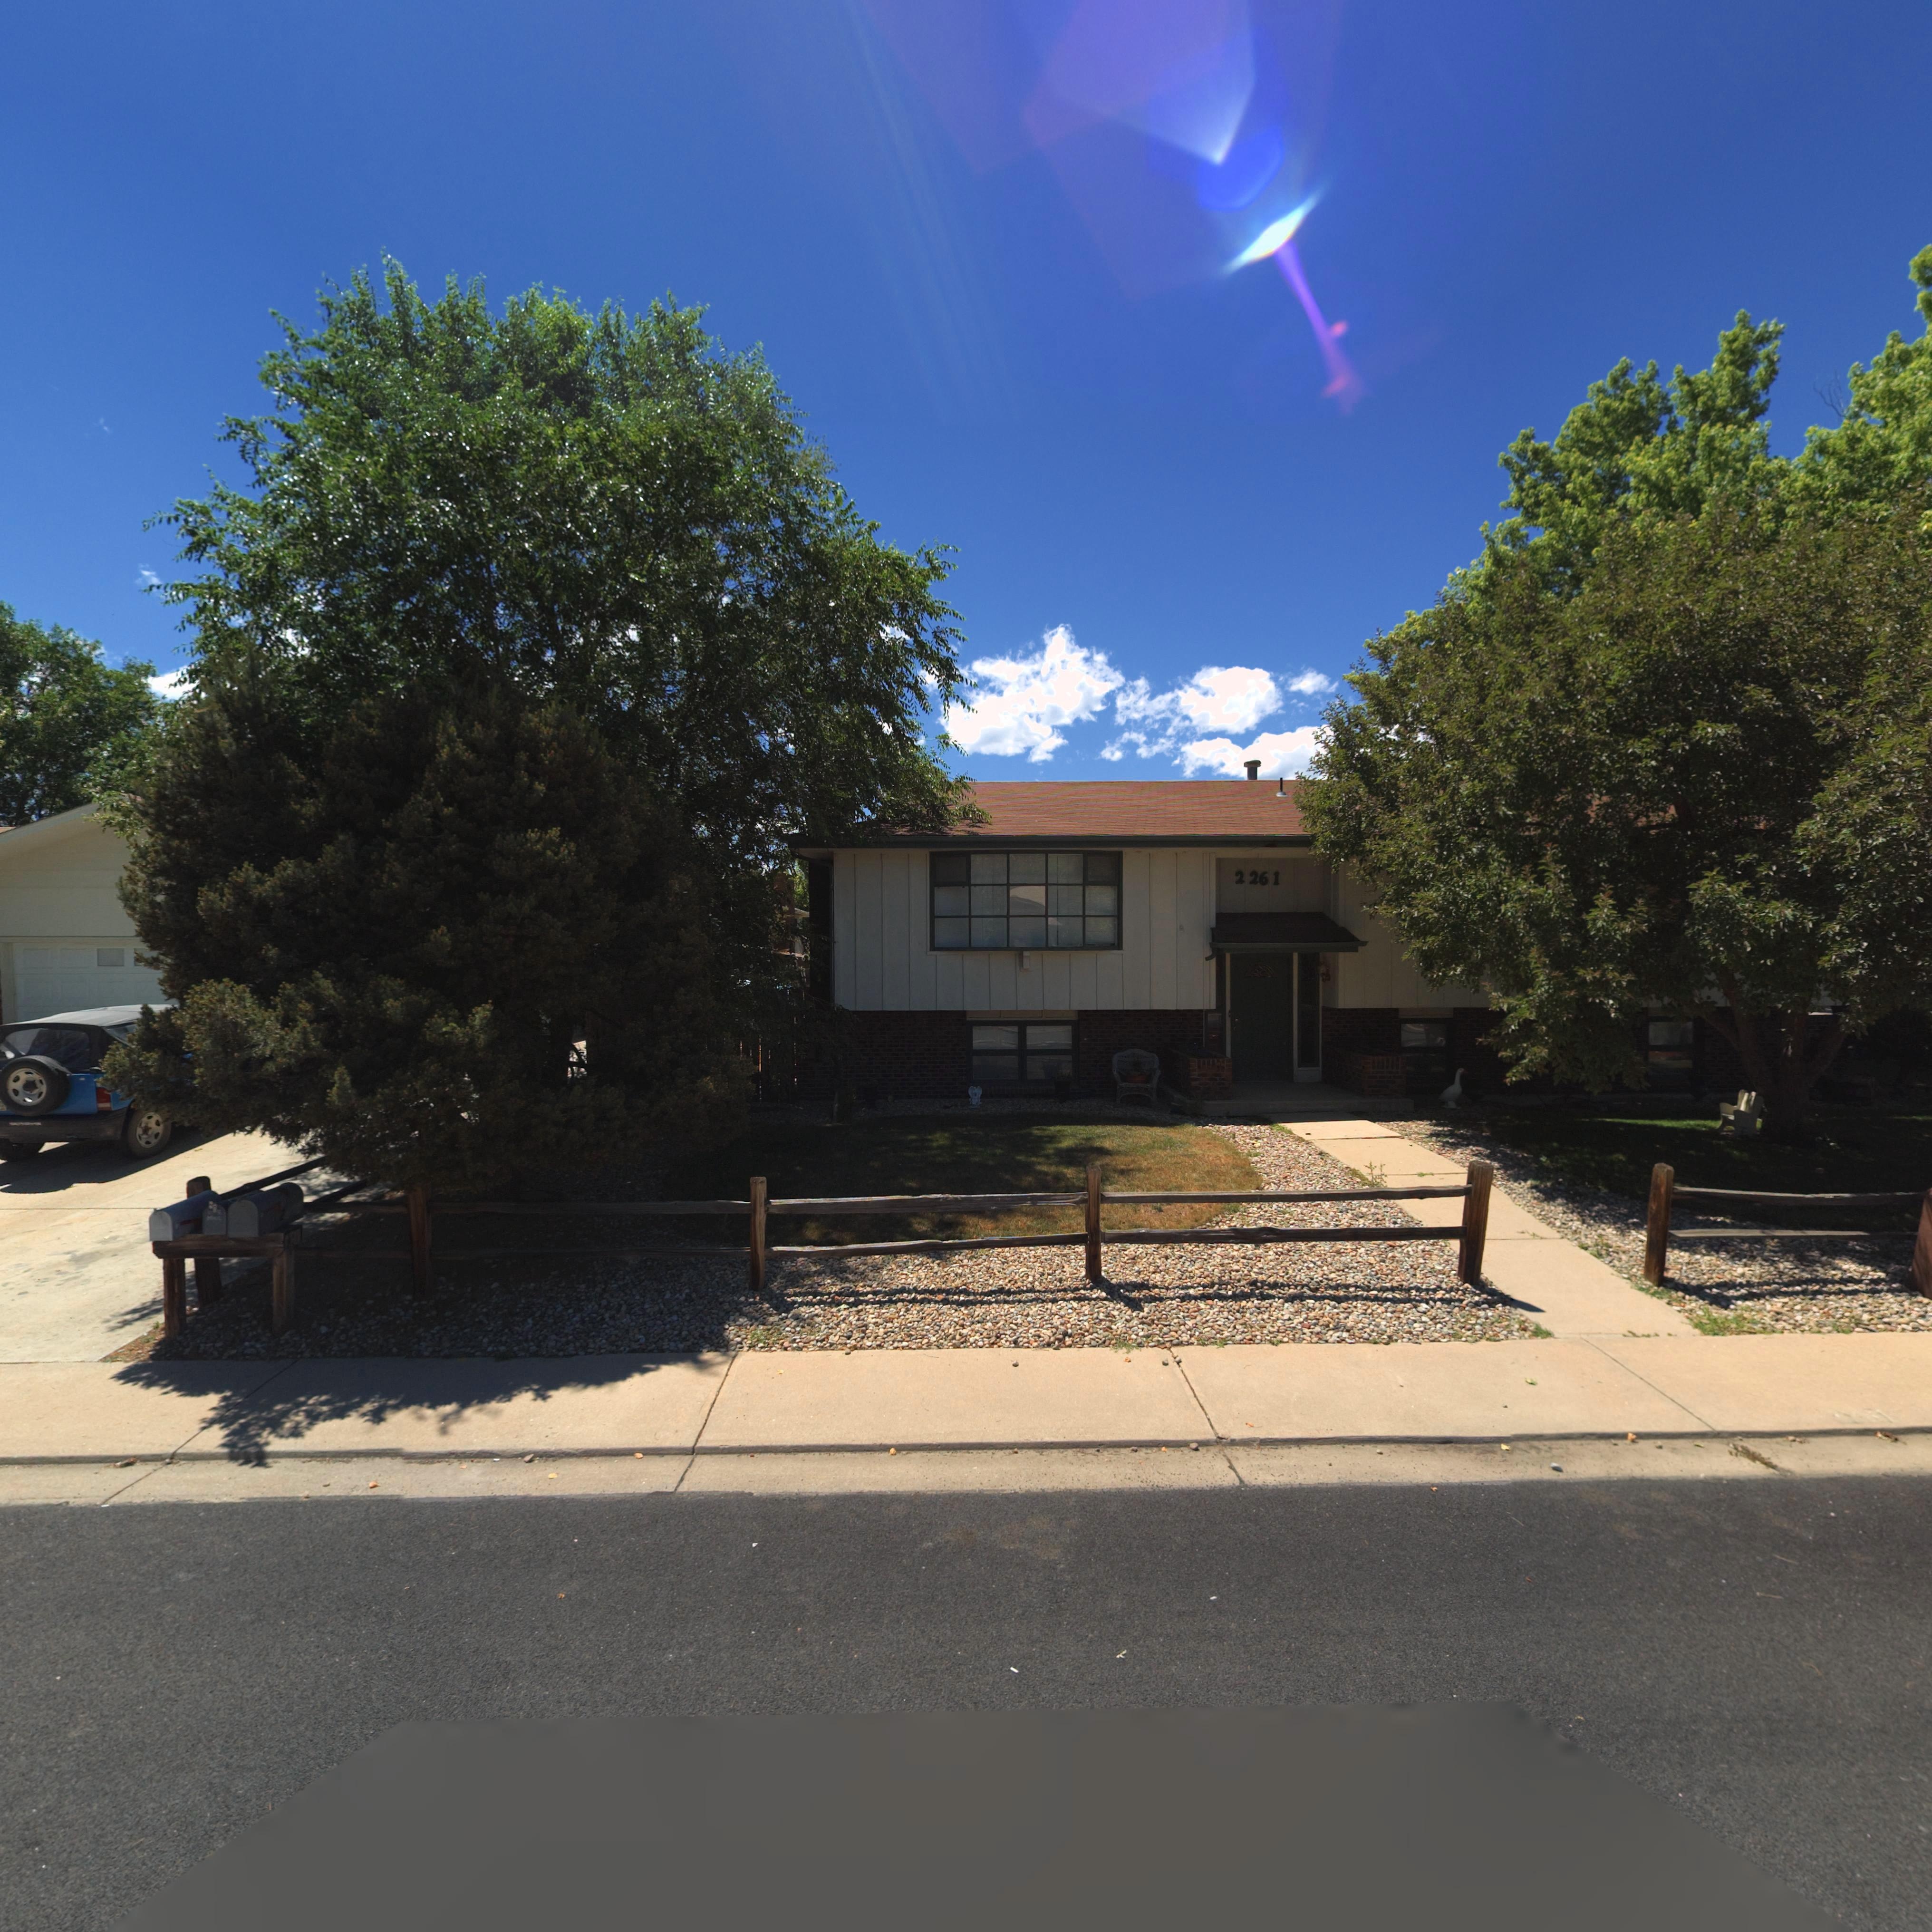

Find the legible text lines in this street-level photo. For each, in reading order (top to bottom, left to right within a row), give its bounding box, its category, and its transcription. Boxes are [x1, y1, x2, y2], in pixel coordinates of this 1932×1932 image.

[1234, 869, 1280, 886] StreetNumber: 2261